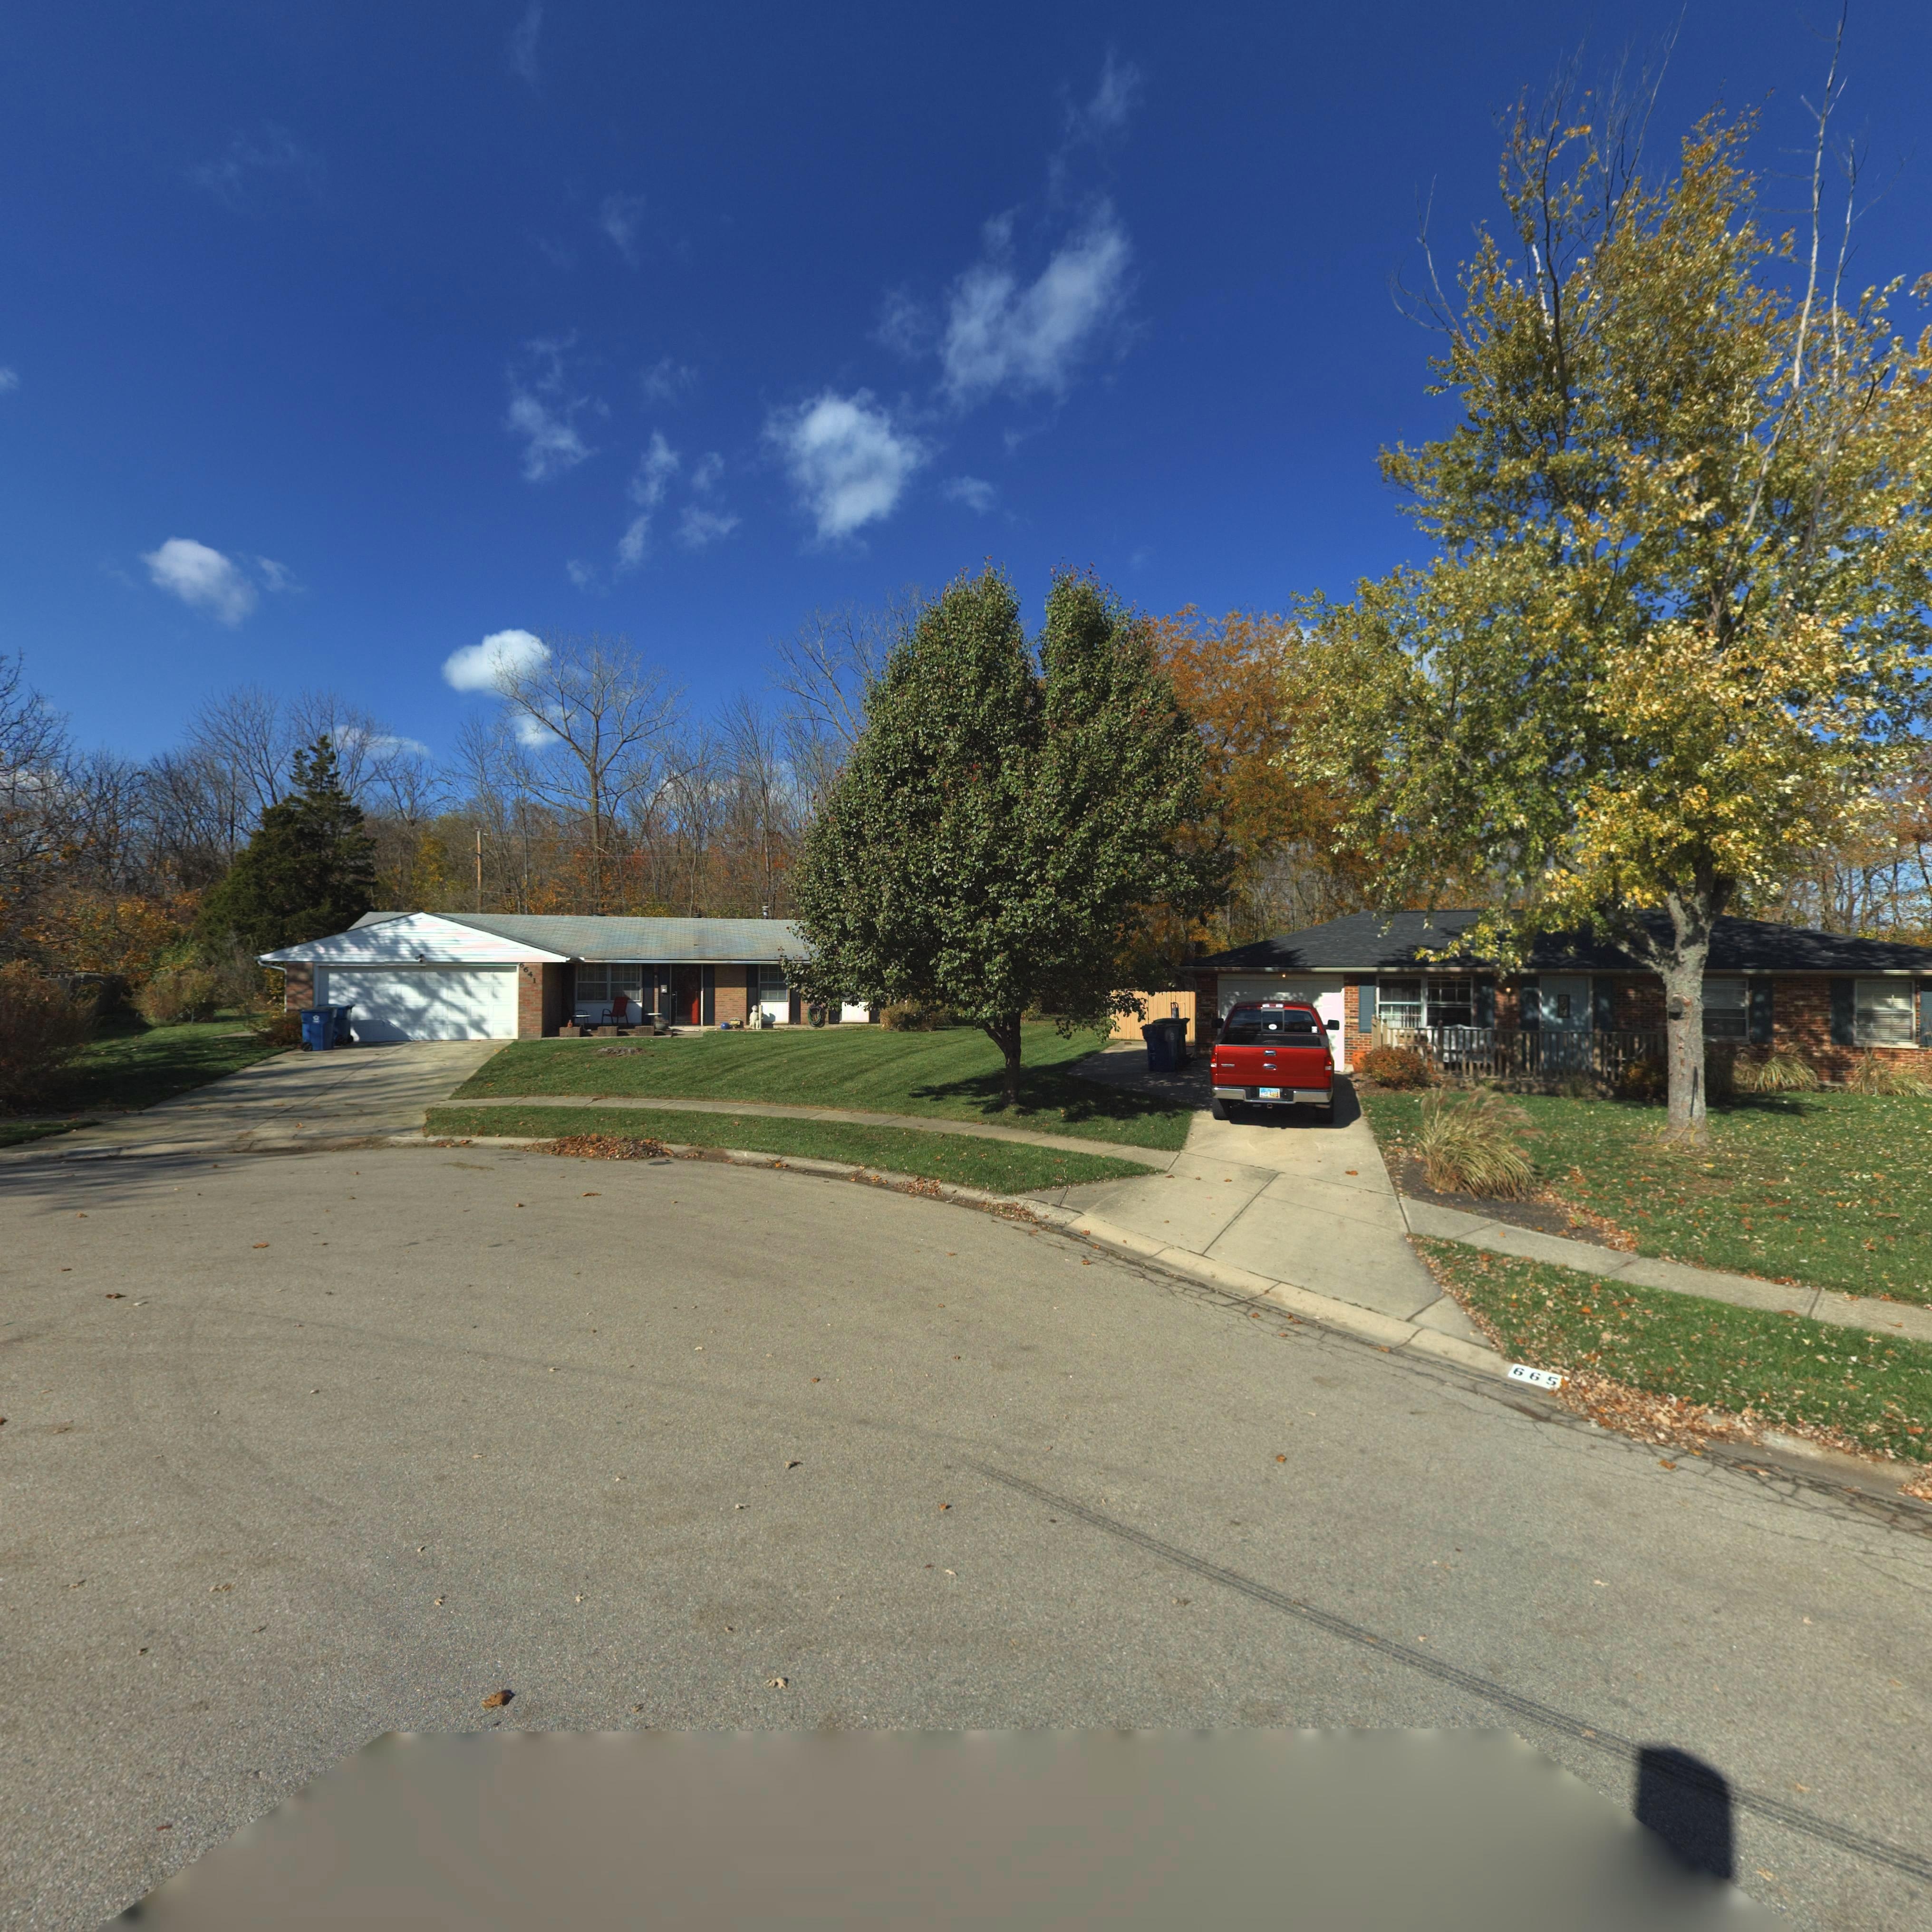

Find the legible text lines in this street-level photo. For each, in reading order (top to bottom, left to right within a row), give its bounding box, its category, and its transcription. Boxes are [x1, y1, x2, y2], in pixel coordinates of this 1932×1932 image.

[519, 962, 537, 984] StreetNumber: 6641
[1512, 1367, 1559, 1387] StreetNumber: 665